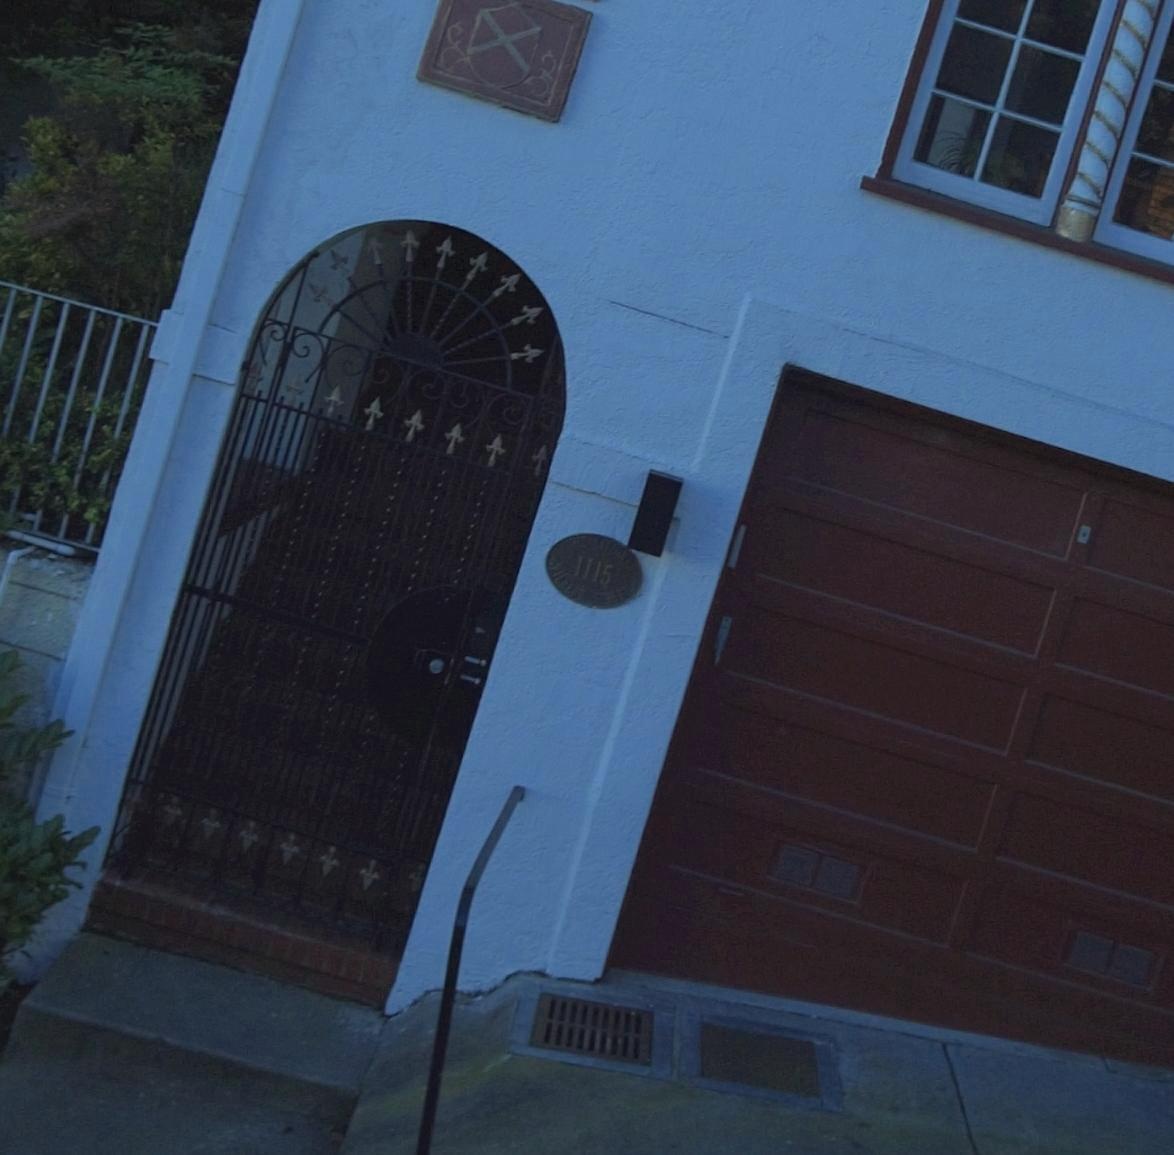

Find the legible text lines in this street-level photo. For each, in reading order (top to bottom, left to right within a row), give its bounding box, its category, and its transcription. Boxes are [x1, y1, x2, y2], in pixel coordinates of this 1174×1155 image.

[570, 551, 619, 591] StreetNumber: 1115